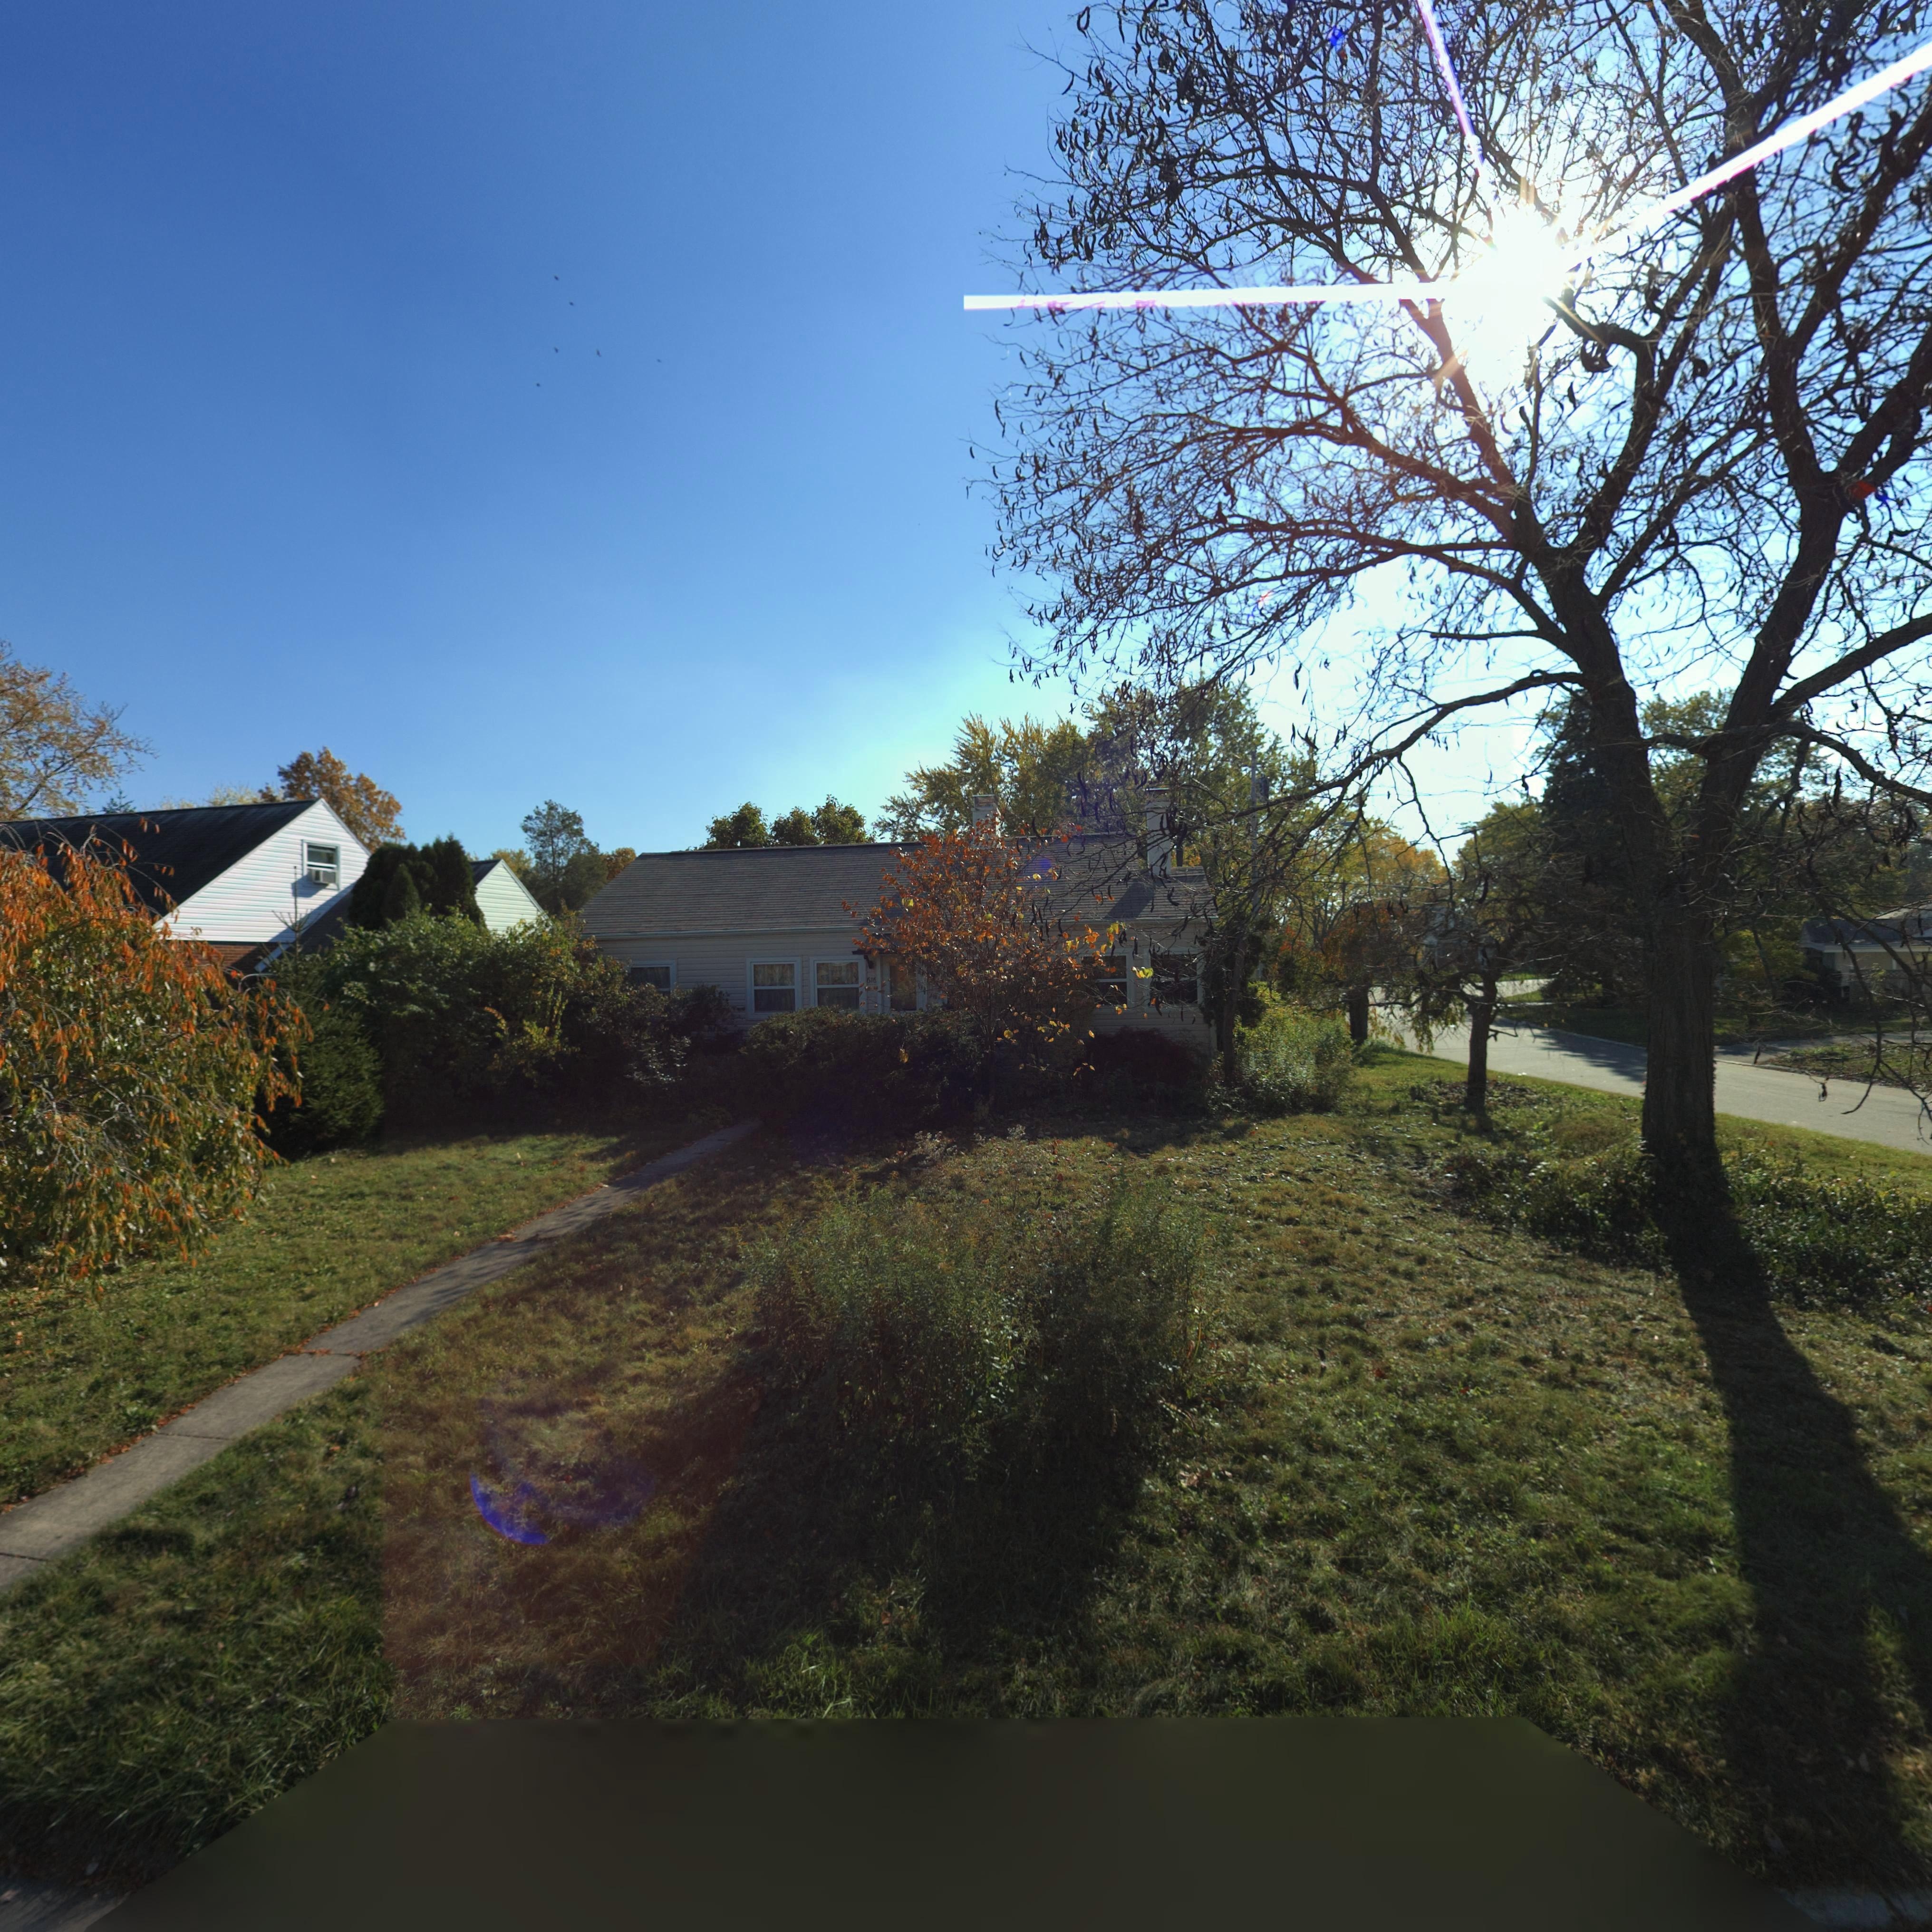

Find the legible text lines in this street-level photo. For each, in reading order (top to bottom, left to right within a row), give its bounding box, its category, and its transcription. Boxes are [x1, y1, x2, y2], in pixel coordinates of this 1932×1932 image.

[866, 976, 877, 984] StreetNumber: 616